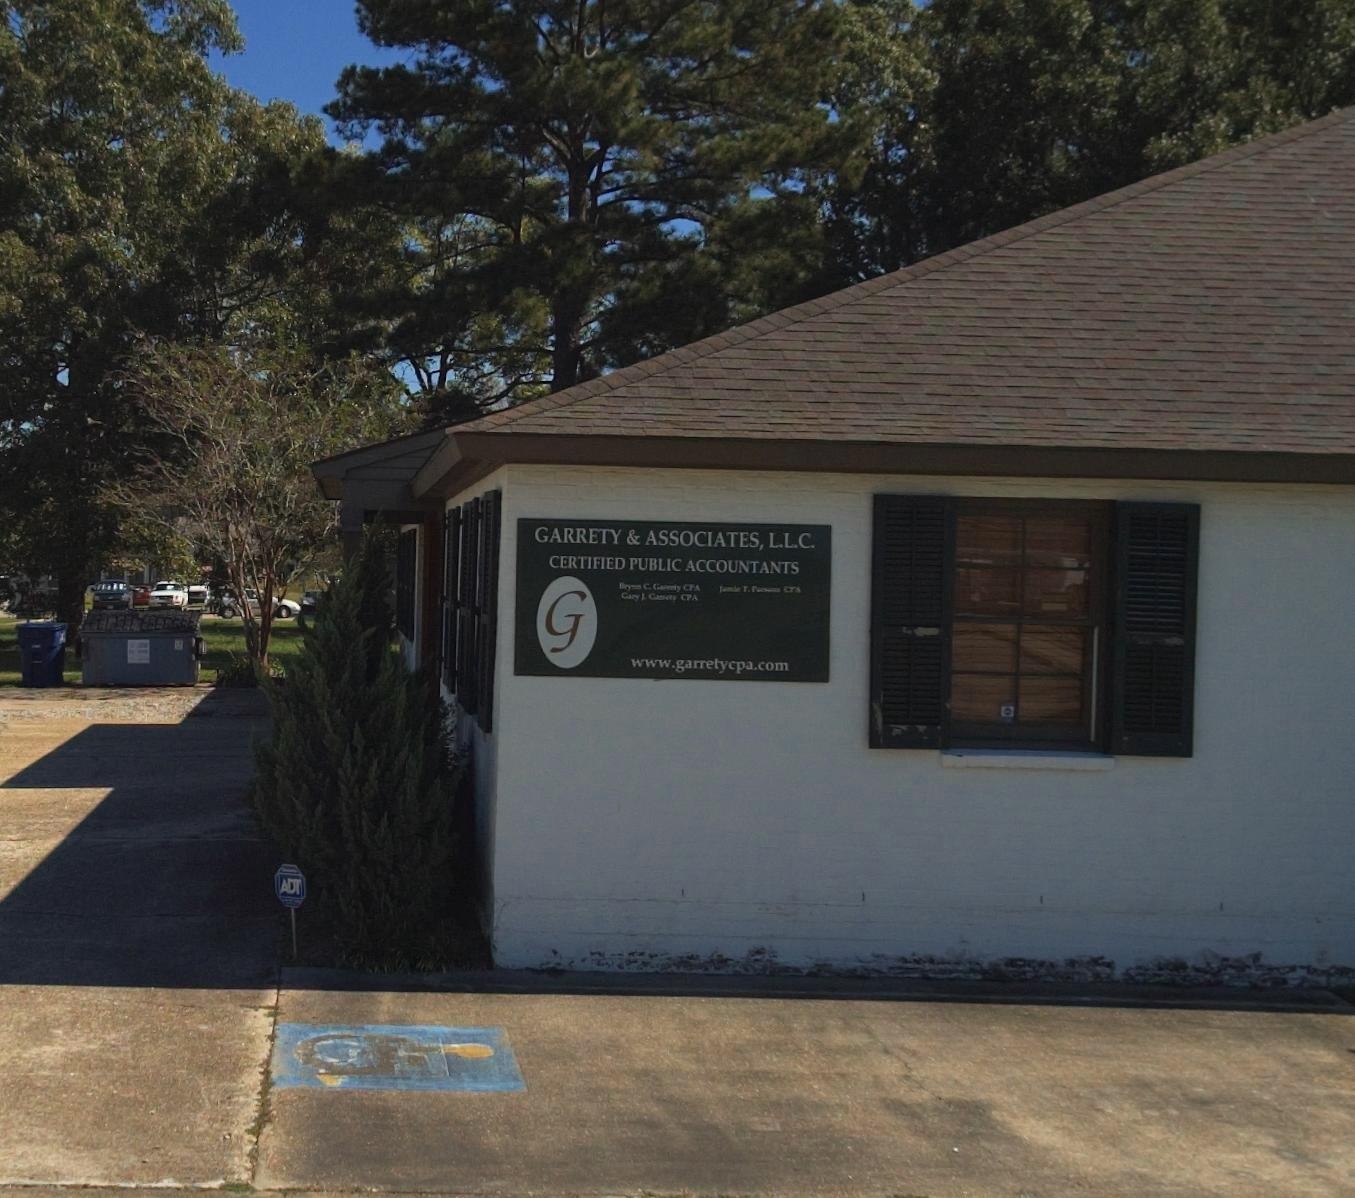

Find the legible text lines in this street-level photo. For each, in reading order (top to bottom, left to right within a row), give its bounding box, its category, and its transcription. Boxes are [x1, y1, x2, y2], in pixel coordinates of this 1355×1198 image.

[531, 522, 822, 551] BusinessName: GARRETY * ASSOCIATES, L.L.C.
[546, 552, 802, 578] None: CERTIFIED PUBLIC ACCOUNTANTS
[540, 586, 589, 659] None: G
[628, 653, 793, 678] None: www.garretycpa.com
[278, 876, 304, 899] BusinessName: ADT